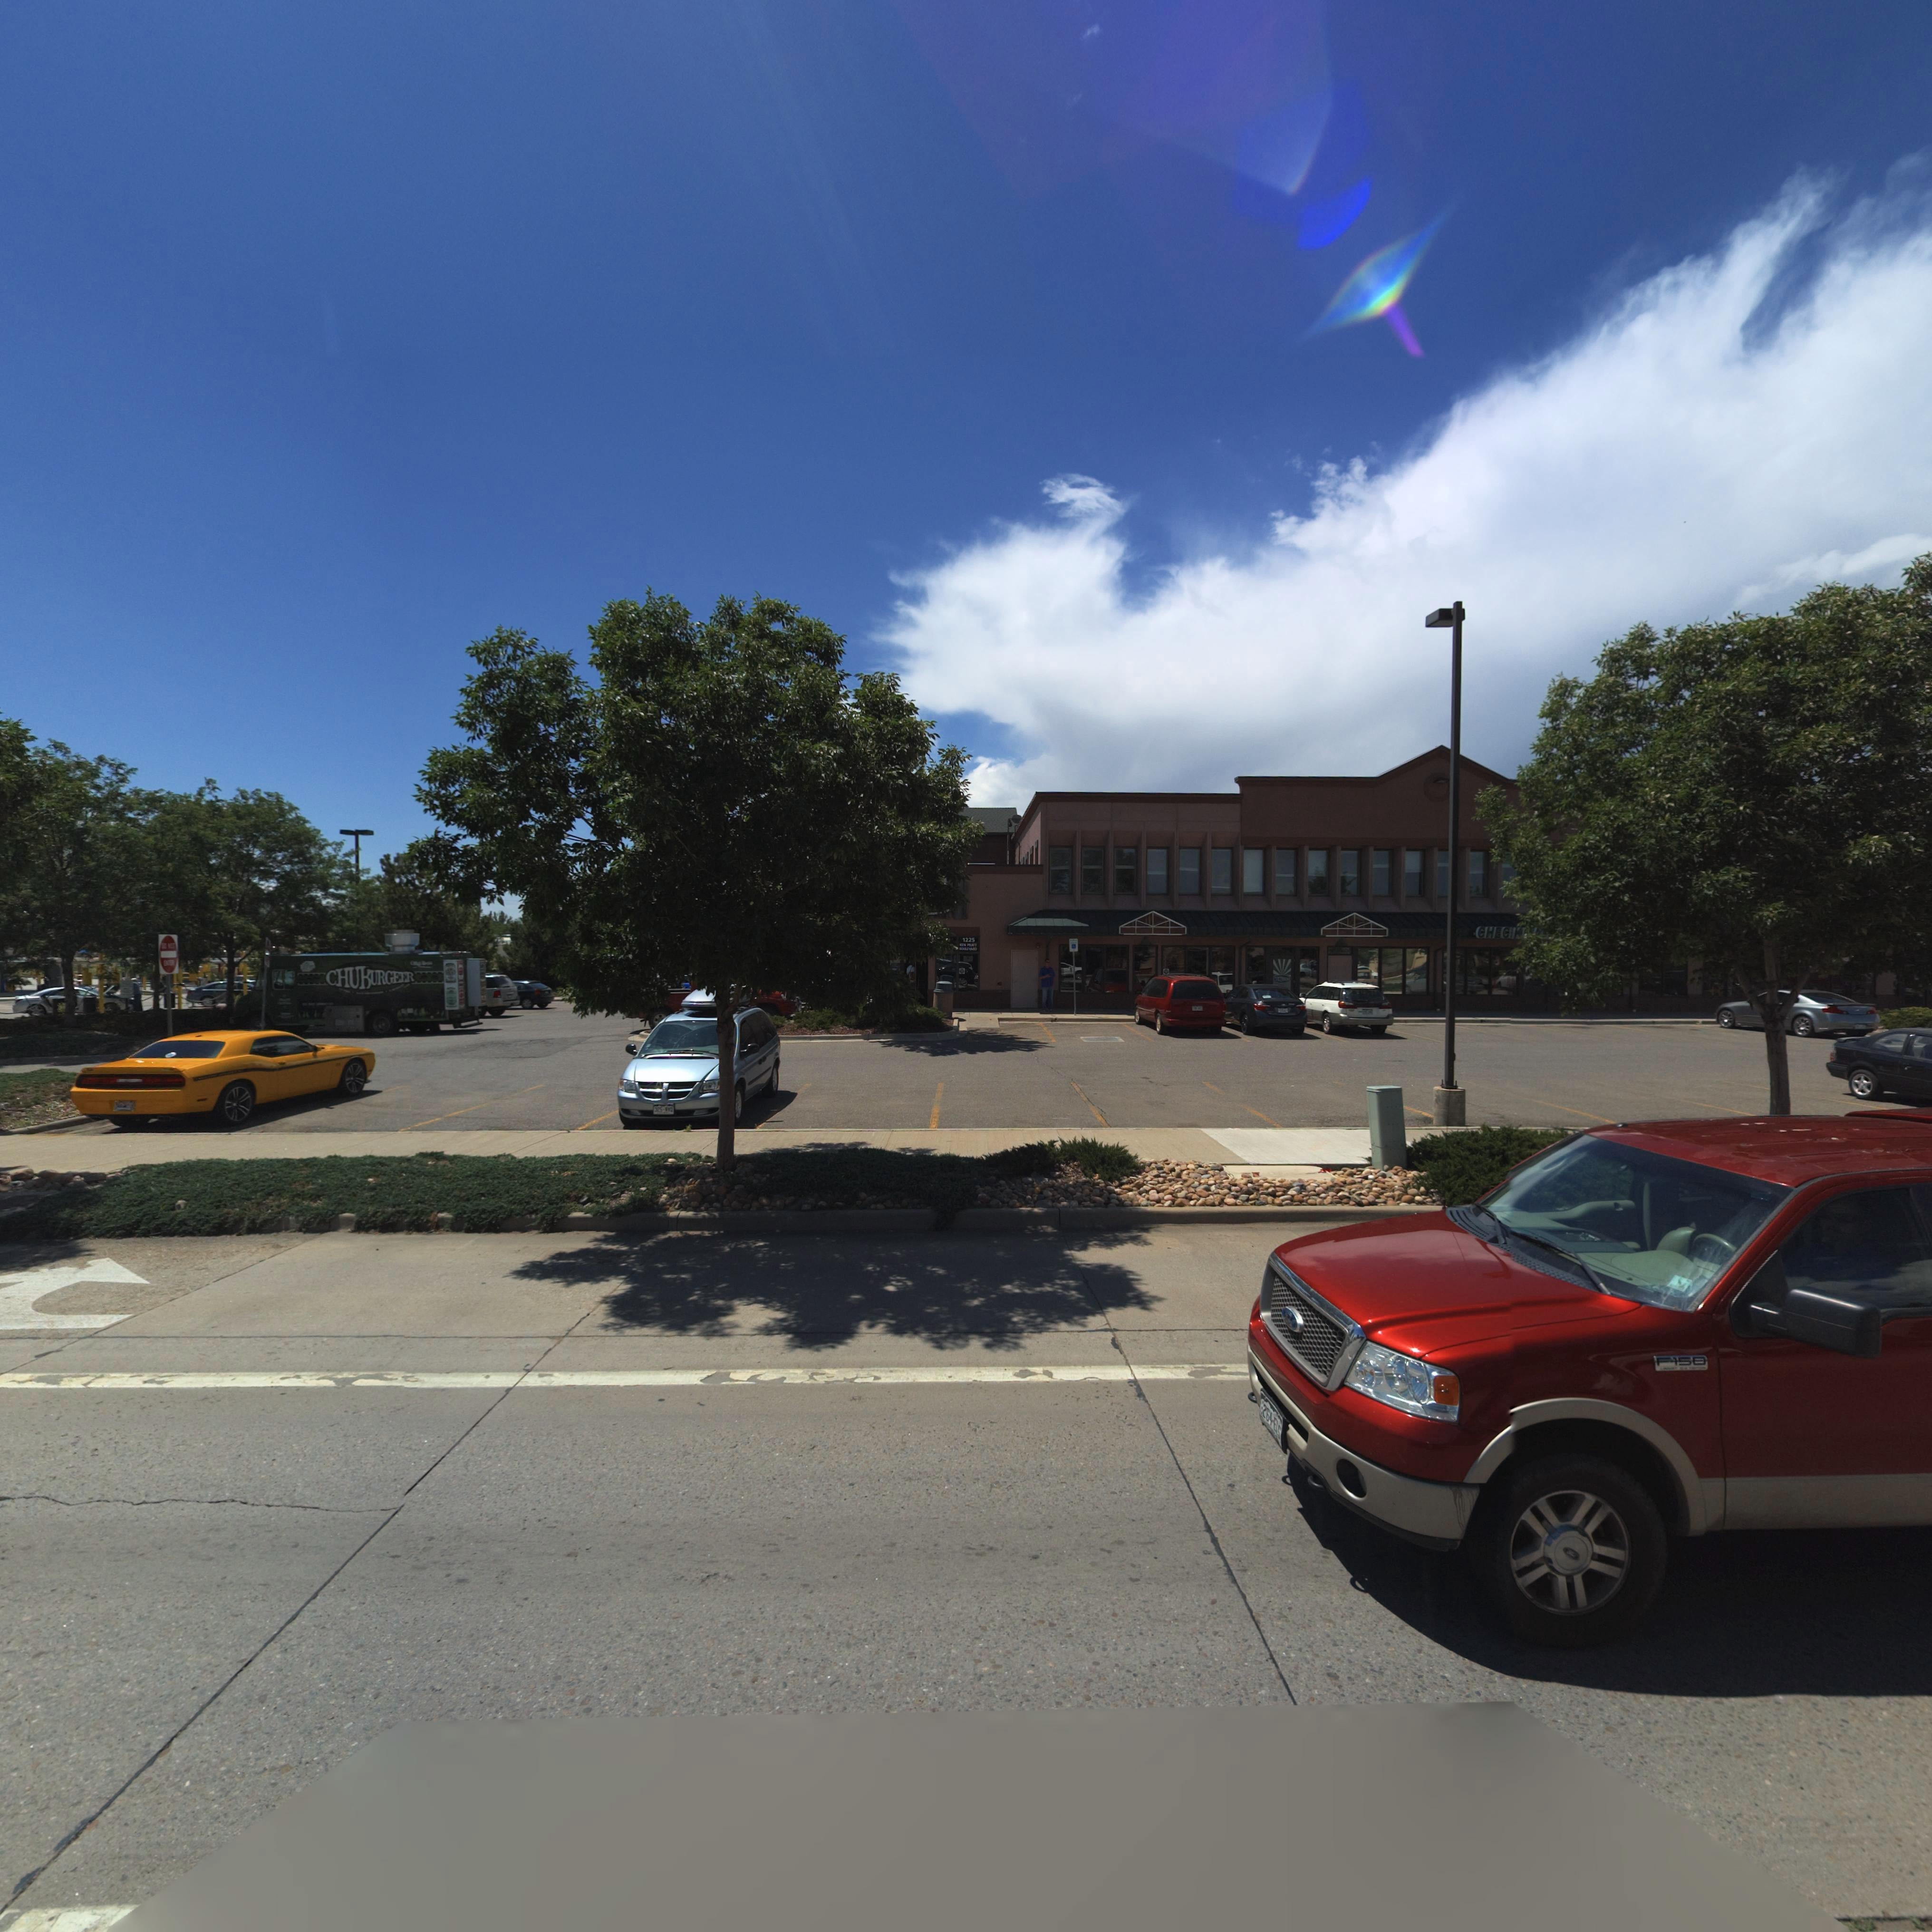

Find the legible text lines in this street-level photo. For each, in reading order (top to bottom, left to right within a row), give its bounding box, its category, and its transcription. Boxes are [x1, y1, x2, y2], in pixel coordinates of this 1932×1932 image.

[1475, 926, 1524, 939] BusinessName: CHEC*
[962, 937, 975, 942] StreetNumber: 1225
[959, 943, 977, 947] StreetName: KEN PRATT
[959, 947, 977, 950] StreetName: BOULEVARD